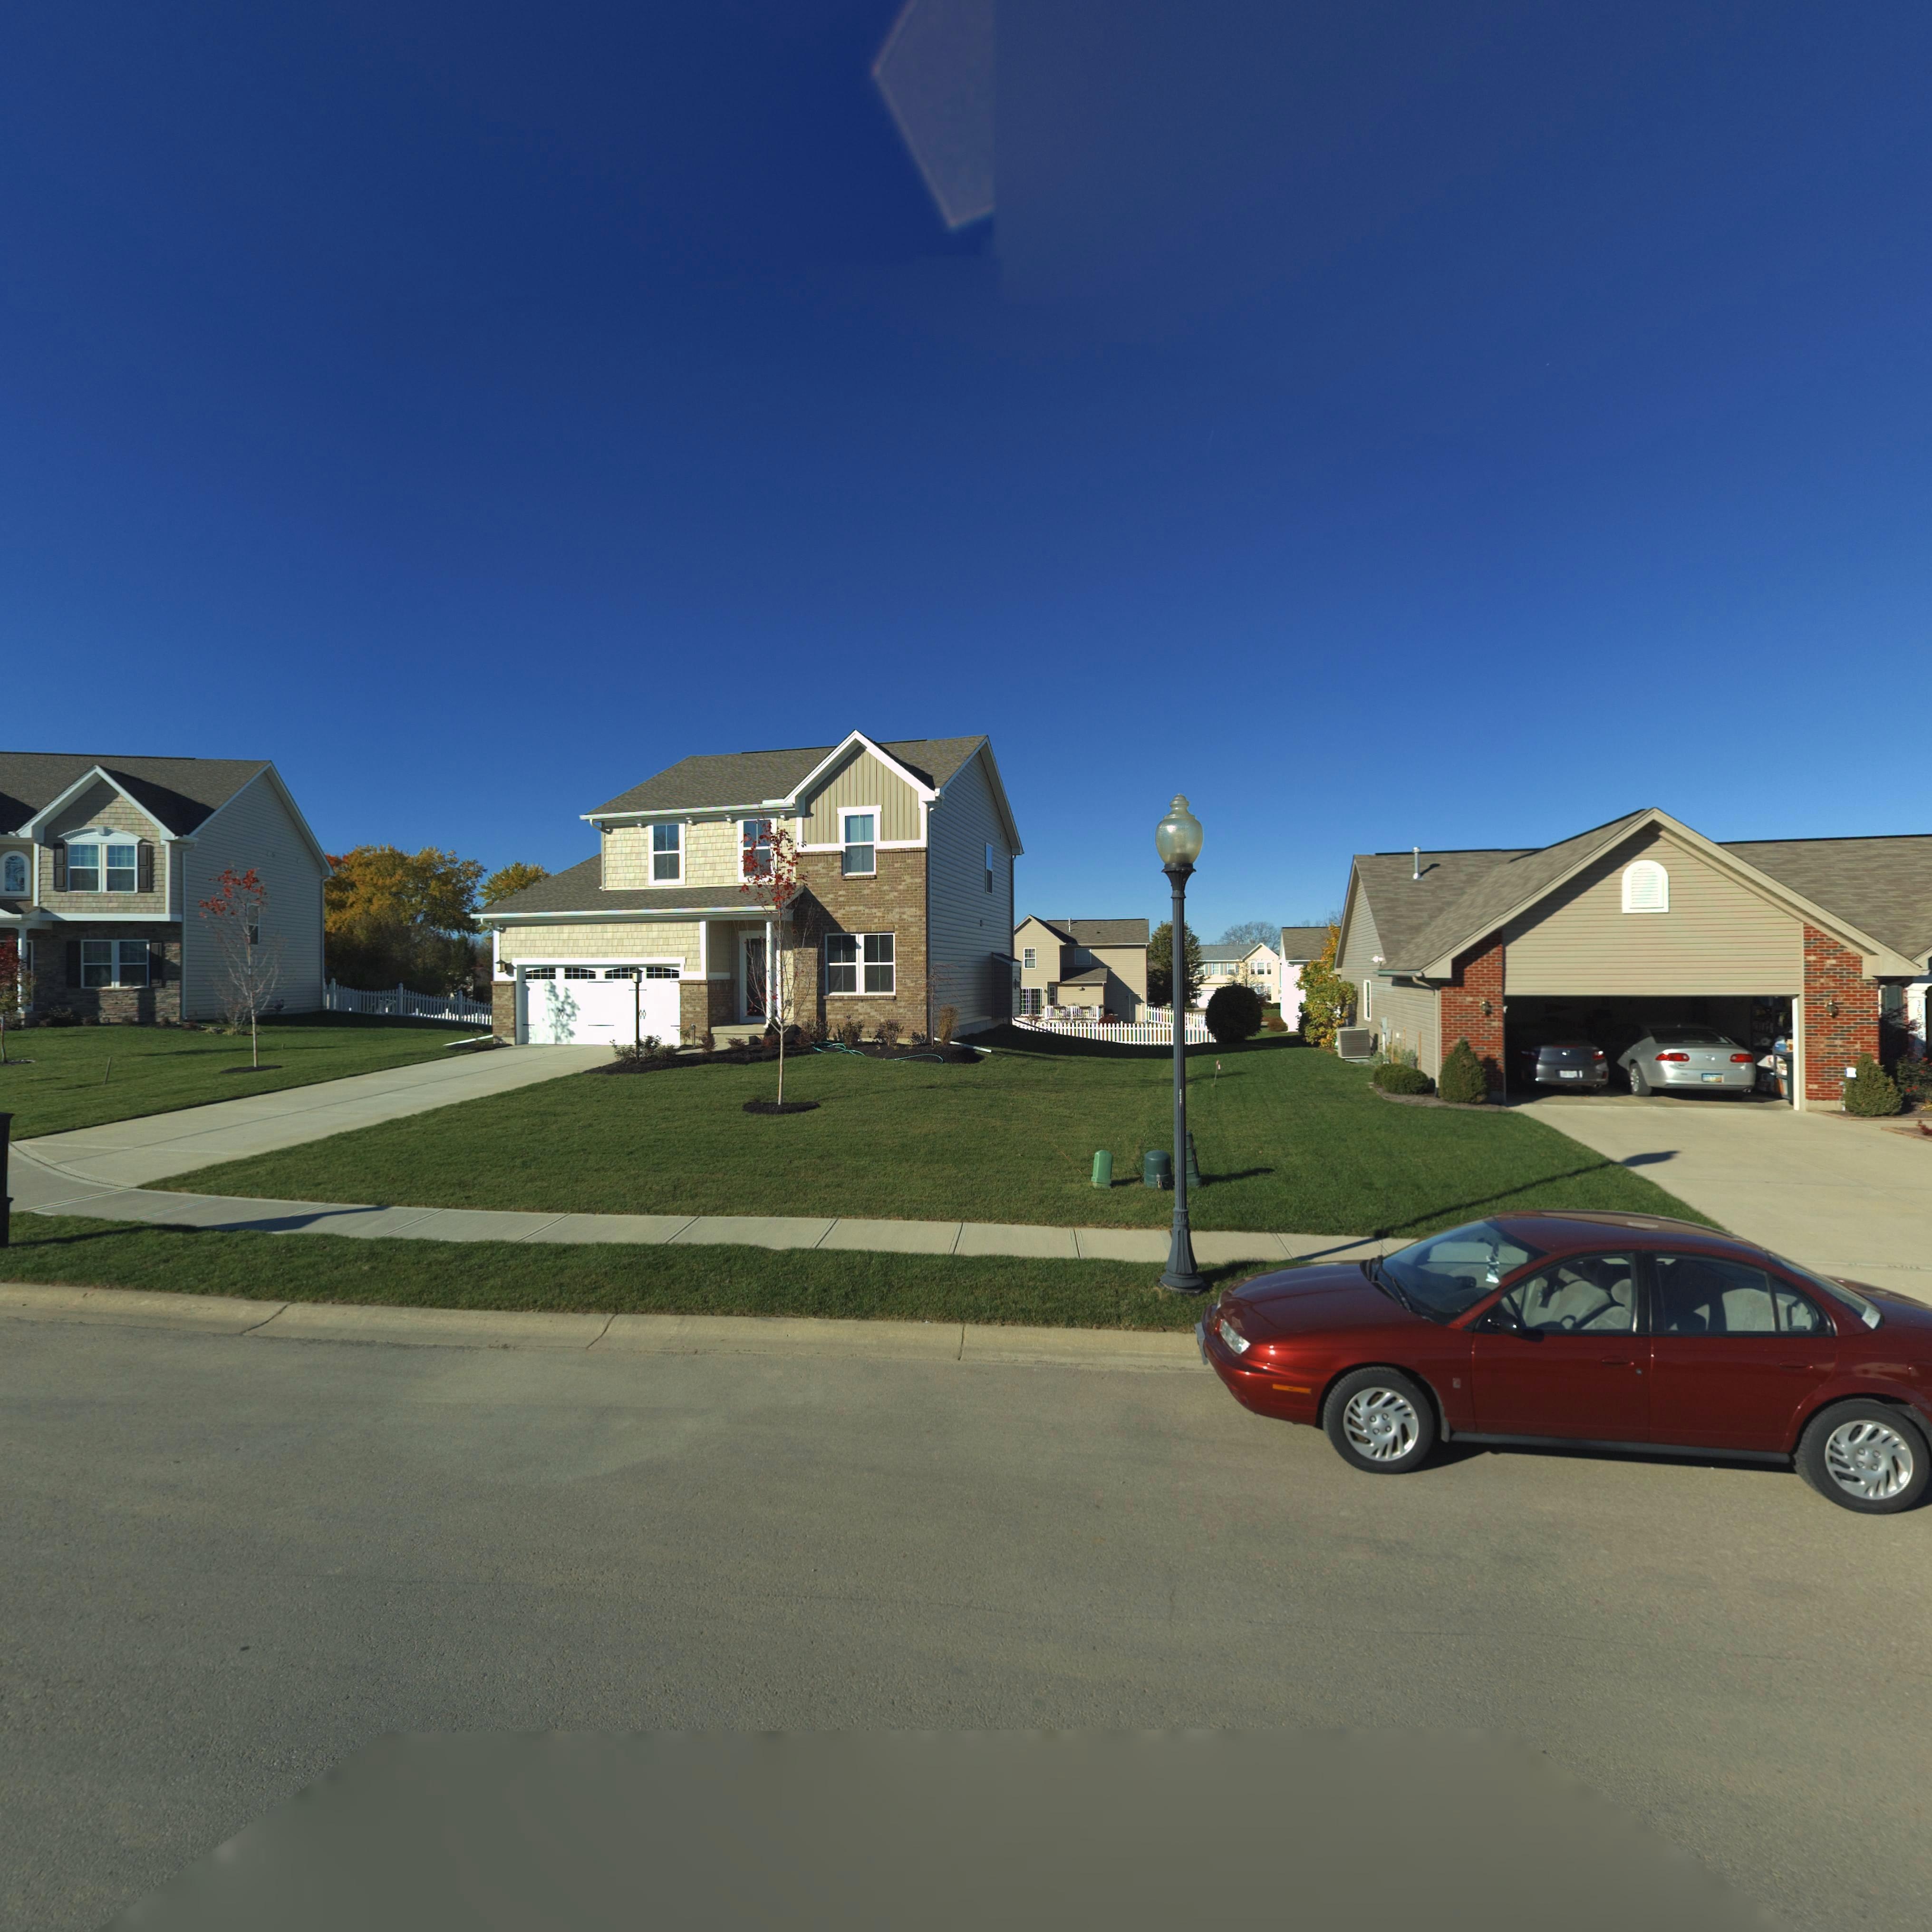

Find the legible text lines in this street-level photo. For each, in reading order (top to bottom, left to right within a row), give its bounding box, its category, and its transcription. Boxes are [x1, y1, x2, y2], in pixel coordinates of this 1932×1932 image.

[1916, 998, 1922, 1021] StreetNumber: 103